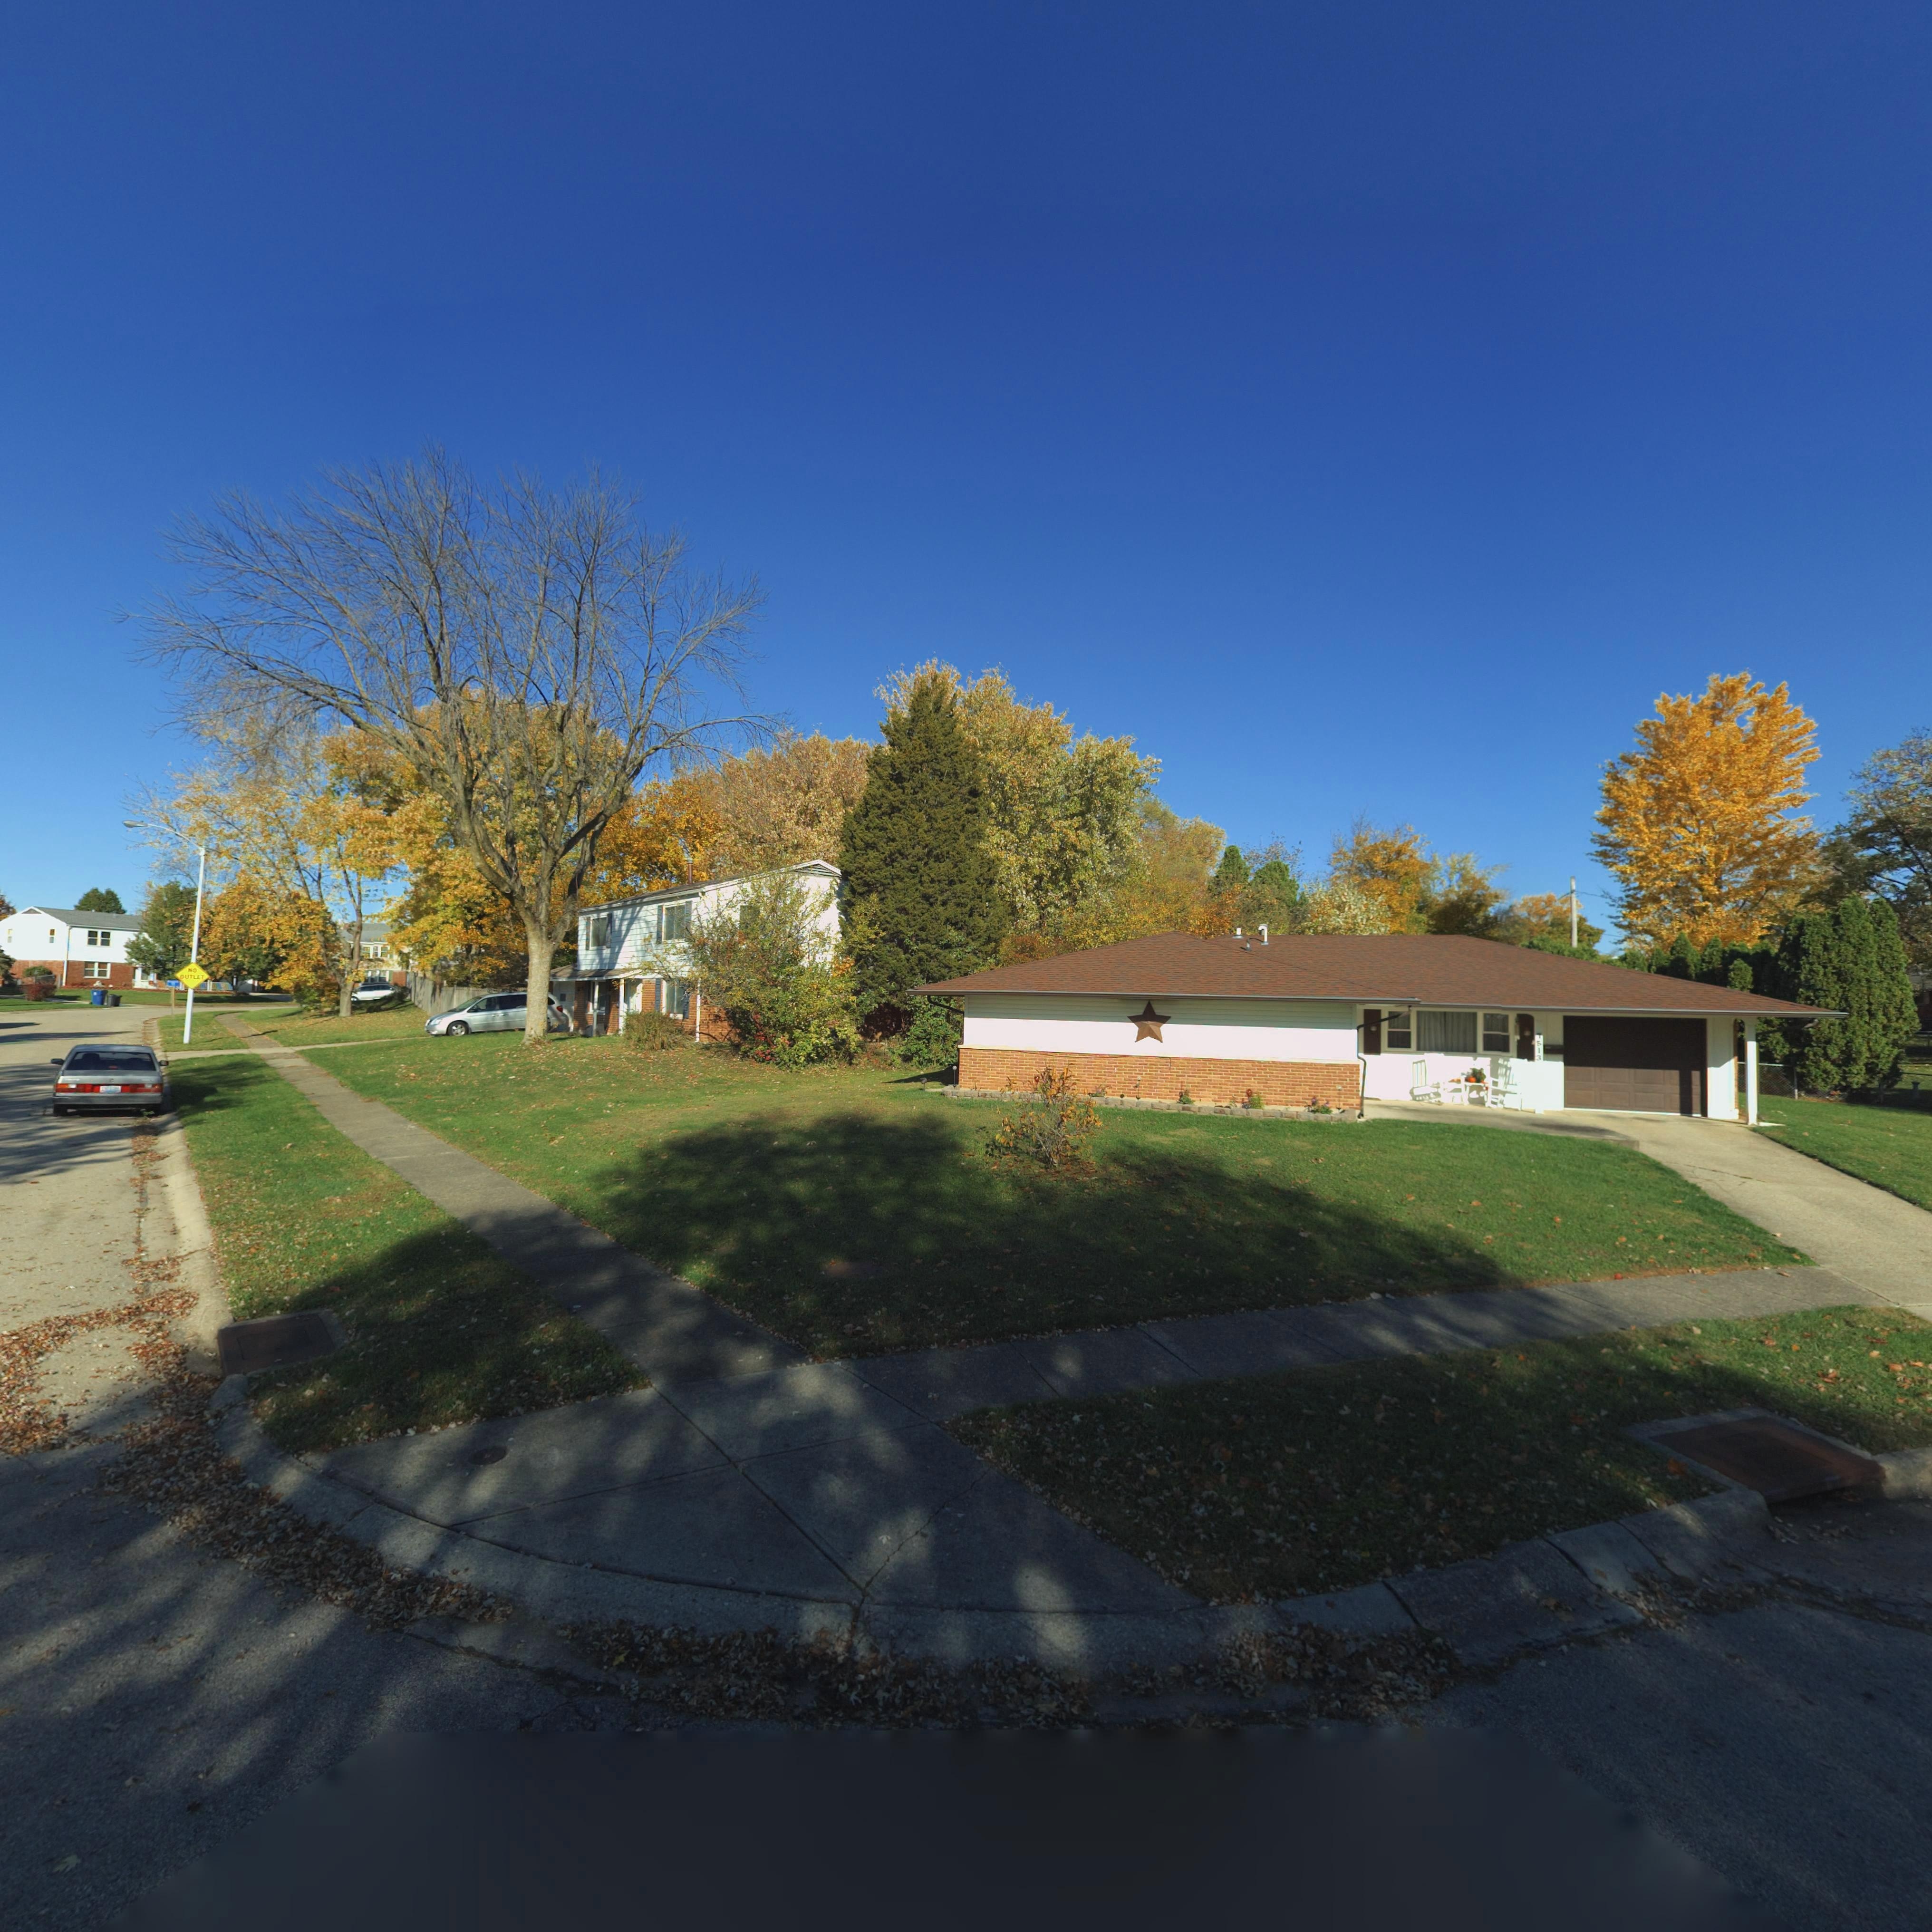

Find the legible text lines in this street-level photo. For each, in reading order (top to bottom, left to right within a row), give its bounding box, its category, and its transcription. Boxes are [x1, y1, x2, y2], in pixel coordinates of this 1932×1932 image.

[1535, 1032, 1544, 1063] StreetNumber: 7513